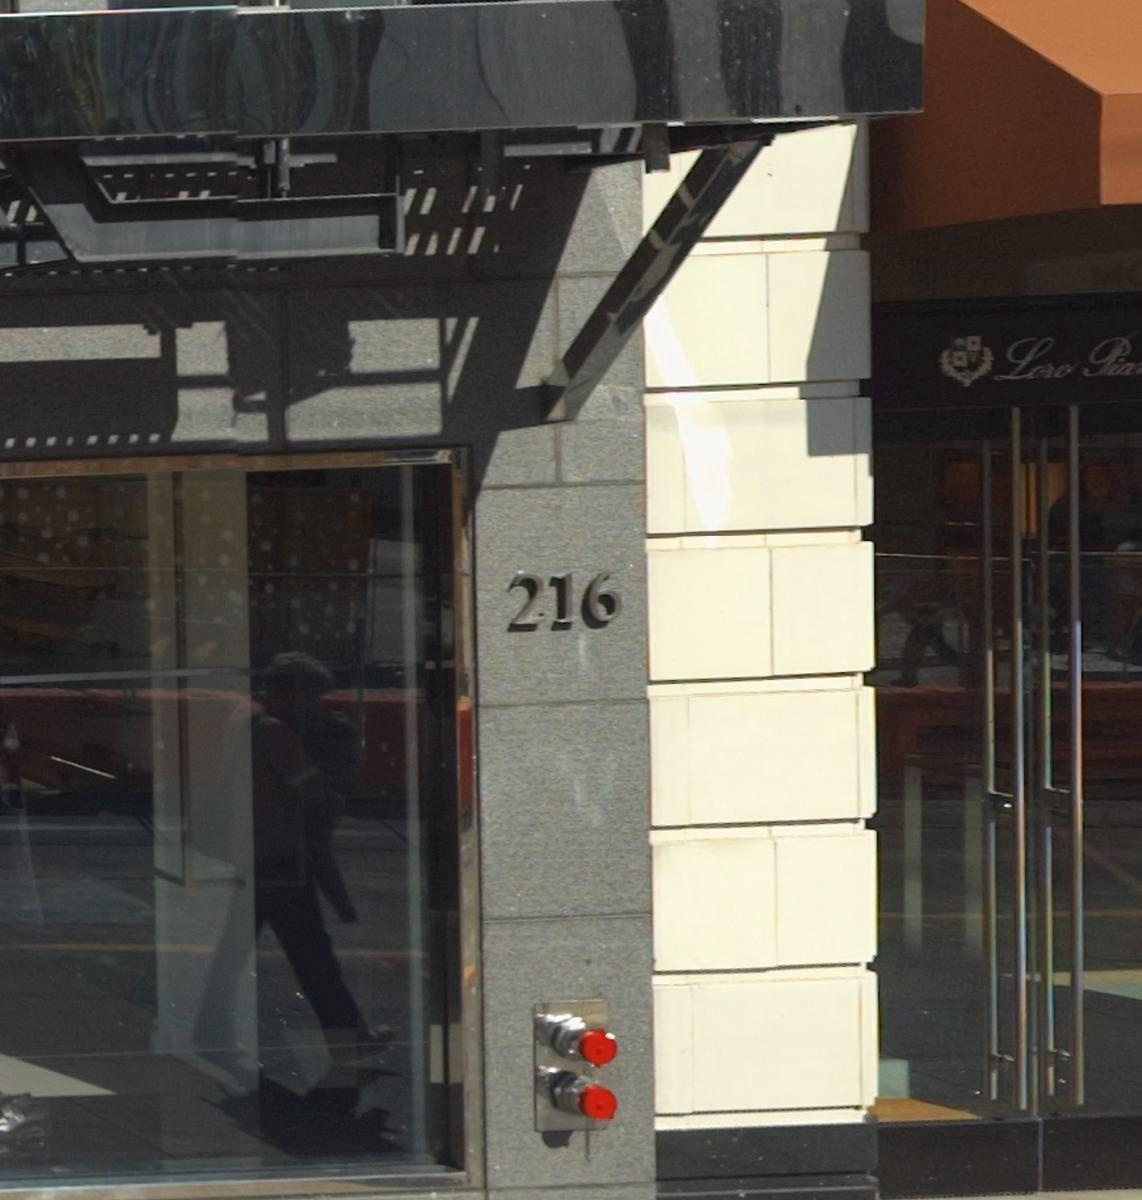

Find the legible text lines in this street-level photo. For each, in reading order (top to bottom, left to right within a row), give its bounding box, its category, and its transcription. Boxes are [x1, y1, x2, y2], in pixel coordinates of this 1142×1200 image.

[505, 567, 627, 633] StreetNumber: 216